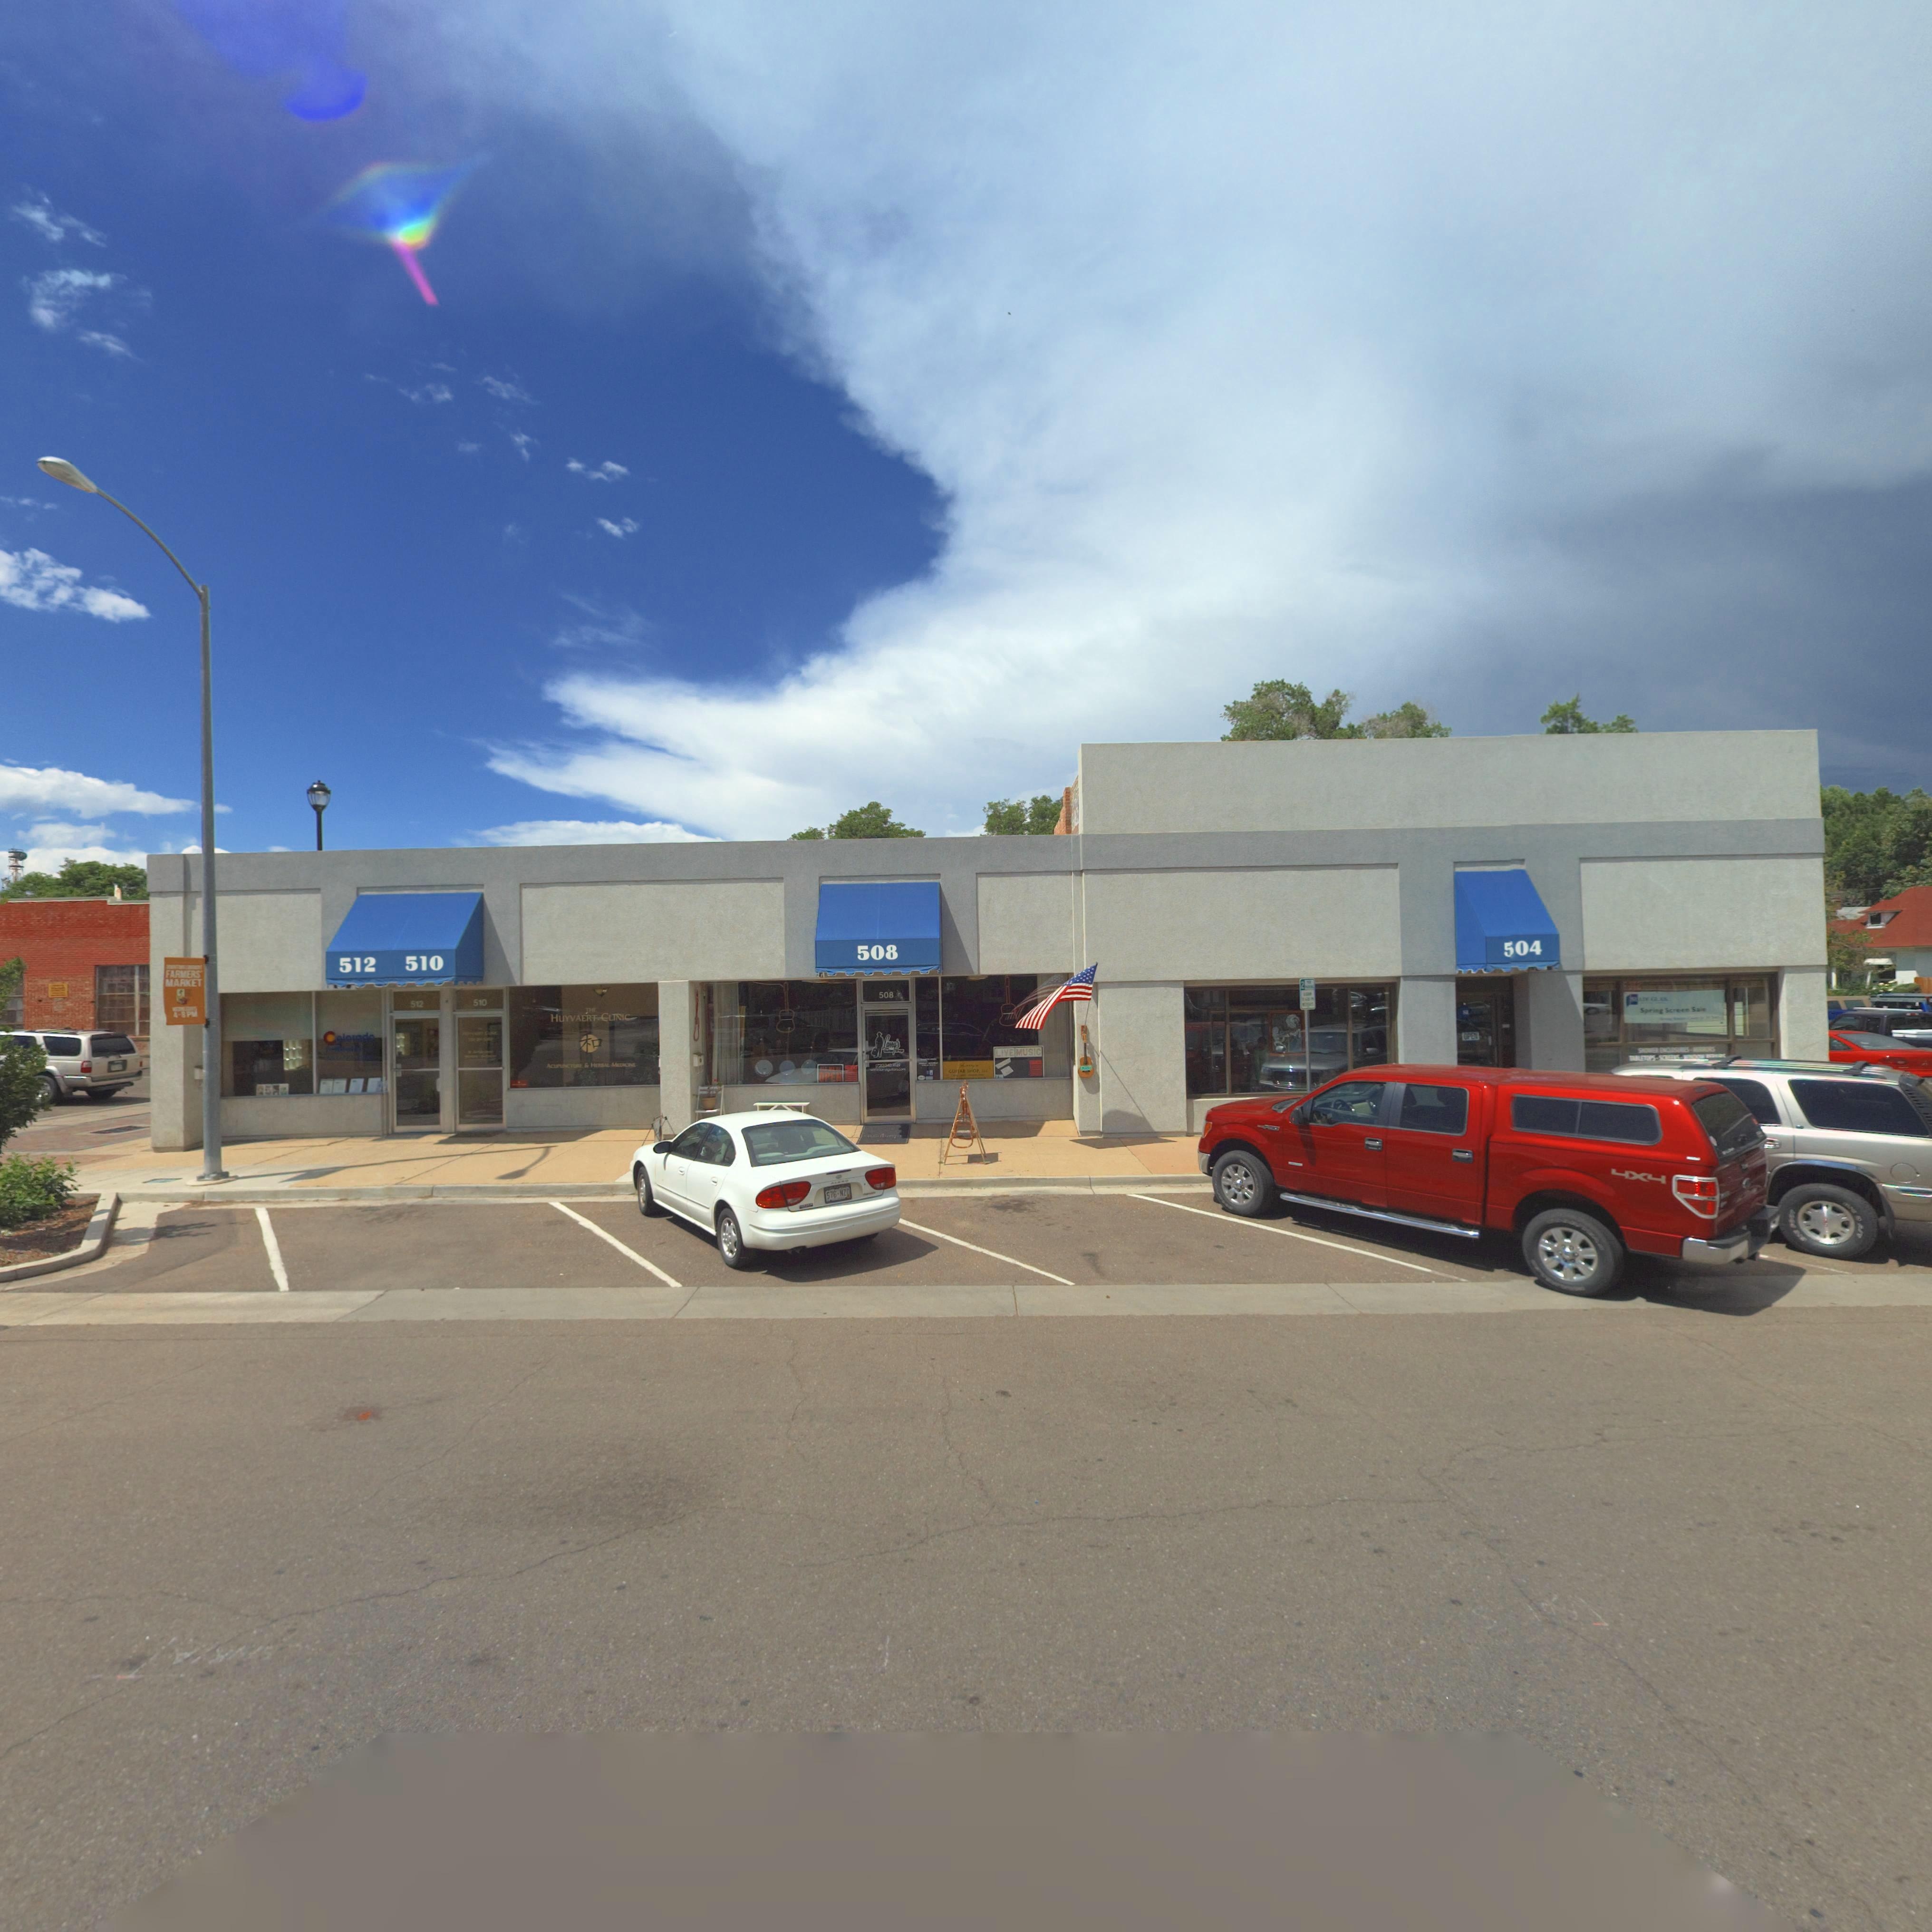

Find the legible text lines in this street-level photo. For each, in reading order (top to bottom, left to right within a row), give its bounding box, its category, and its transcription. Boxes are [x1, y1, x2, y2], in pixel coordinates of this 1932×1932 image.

[856, 944, 898, 960] StreetNumber: 508
[1503, 939, 1543, 957] StreetNumber: 504
[338, 956, 376, 973] StreetNumber: 512
[405, 954, 444, 972] StreetNumber: 510
[878, 991, 894, 998] StreetNumber: 508
[410, 1000, 424, 1007] StreetNumber: 512
[473, 998, 487, 1006] StreetNumber: 510
[1630, 996, 1668, 1002] BusinessName: SLADE GLASS
[585, 1007, 597, 1012] BusinessName: THE
[551, 1012, 631, 1022] BusinessName: HUYVAERT CLINIC
[462, 1030, 498, 1036] BusinessName: HUYVAERT CLINIC
[322, 1030, 376, 1046] BusinessName: Colorado
[881, 1034, 900, 1055] BusinessName: Larry's
[959, 1062, 978, 1068] BusinessName: Larry's
[948, 1069, 988, 1073] StreetNumber: GUITAR SHOP, LLC